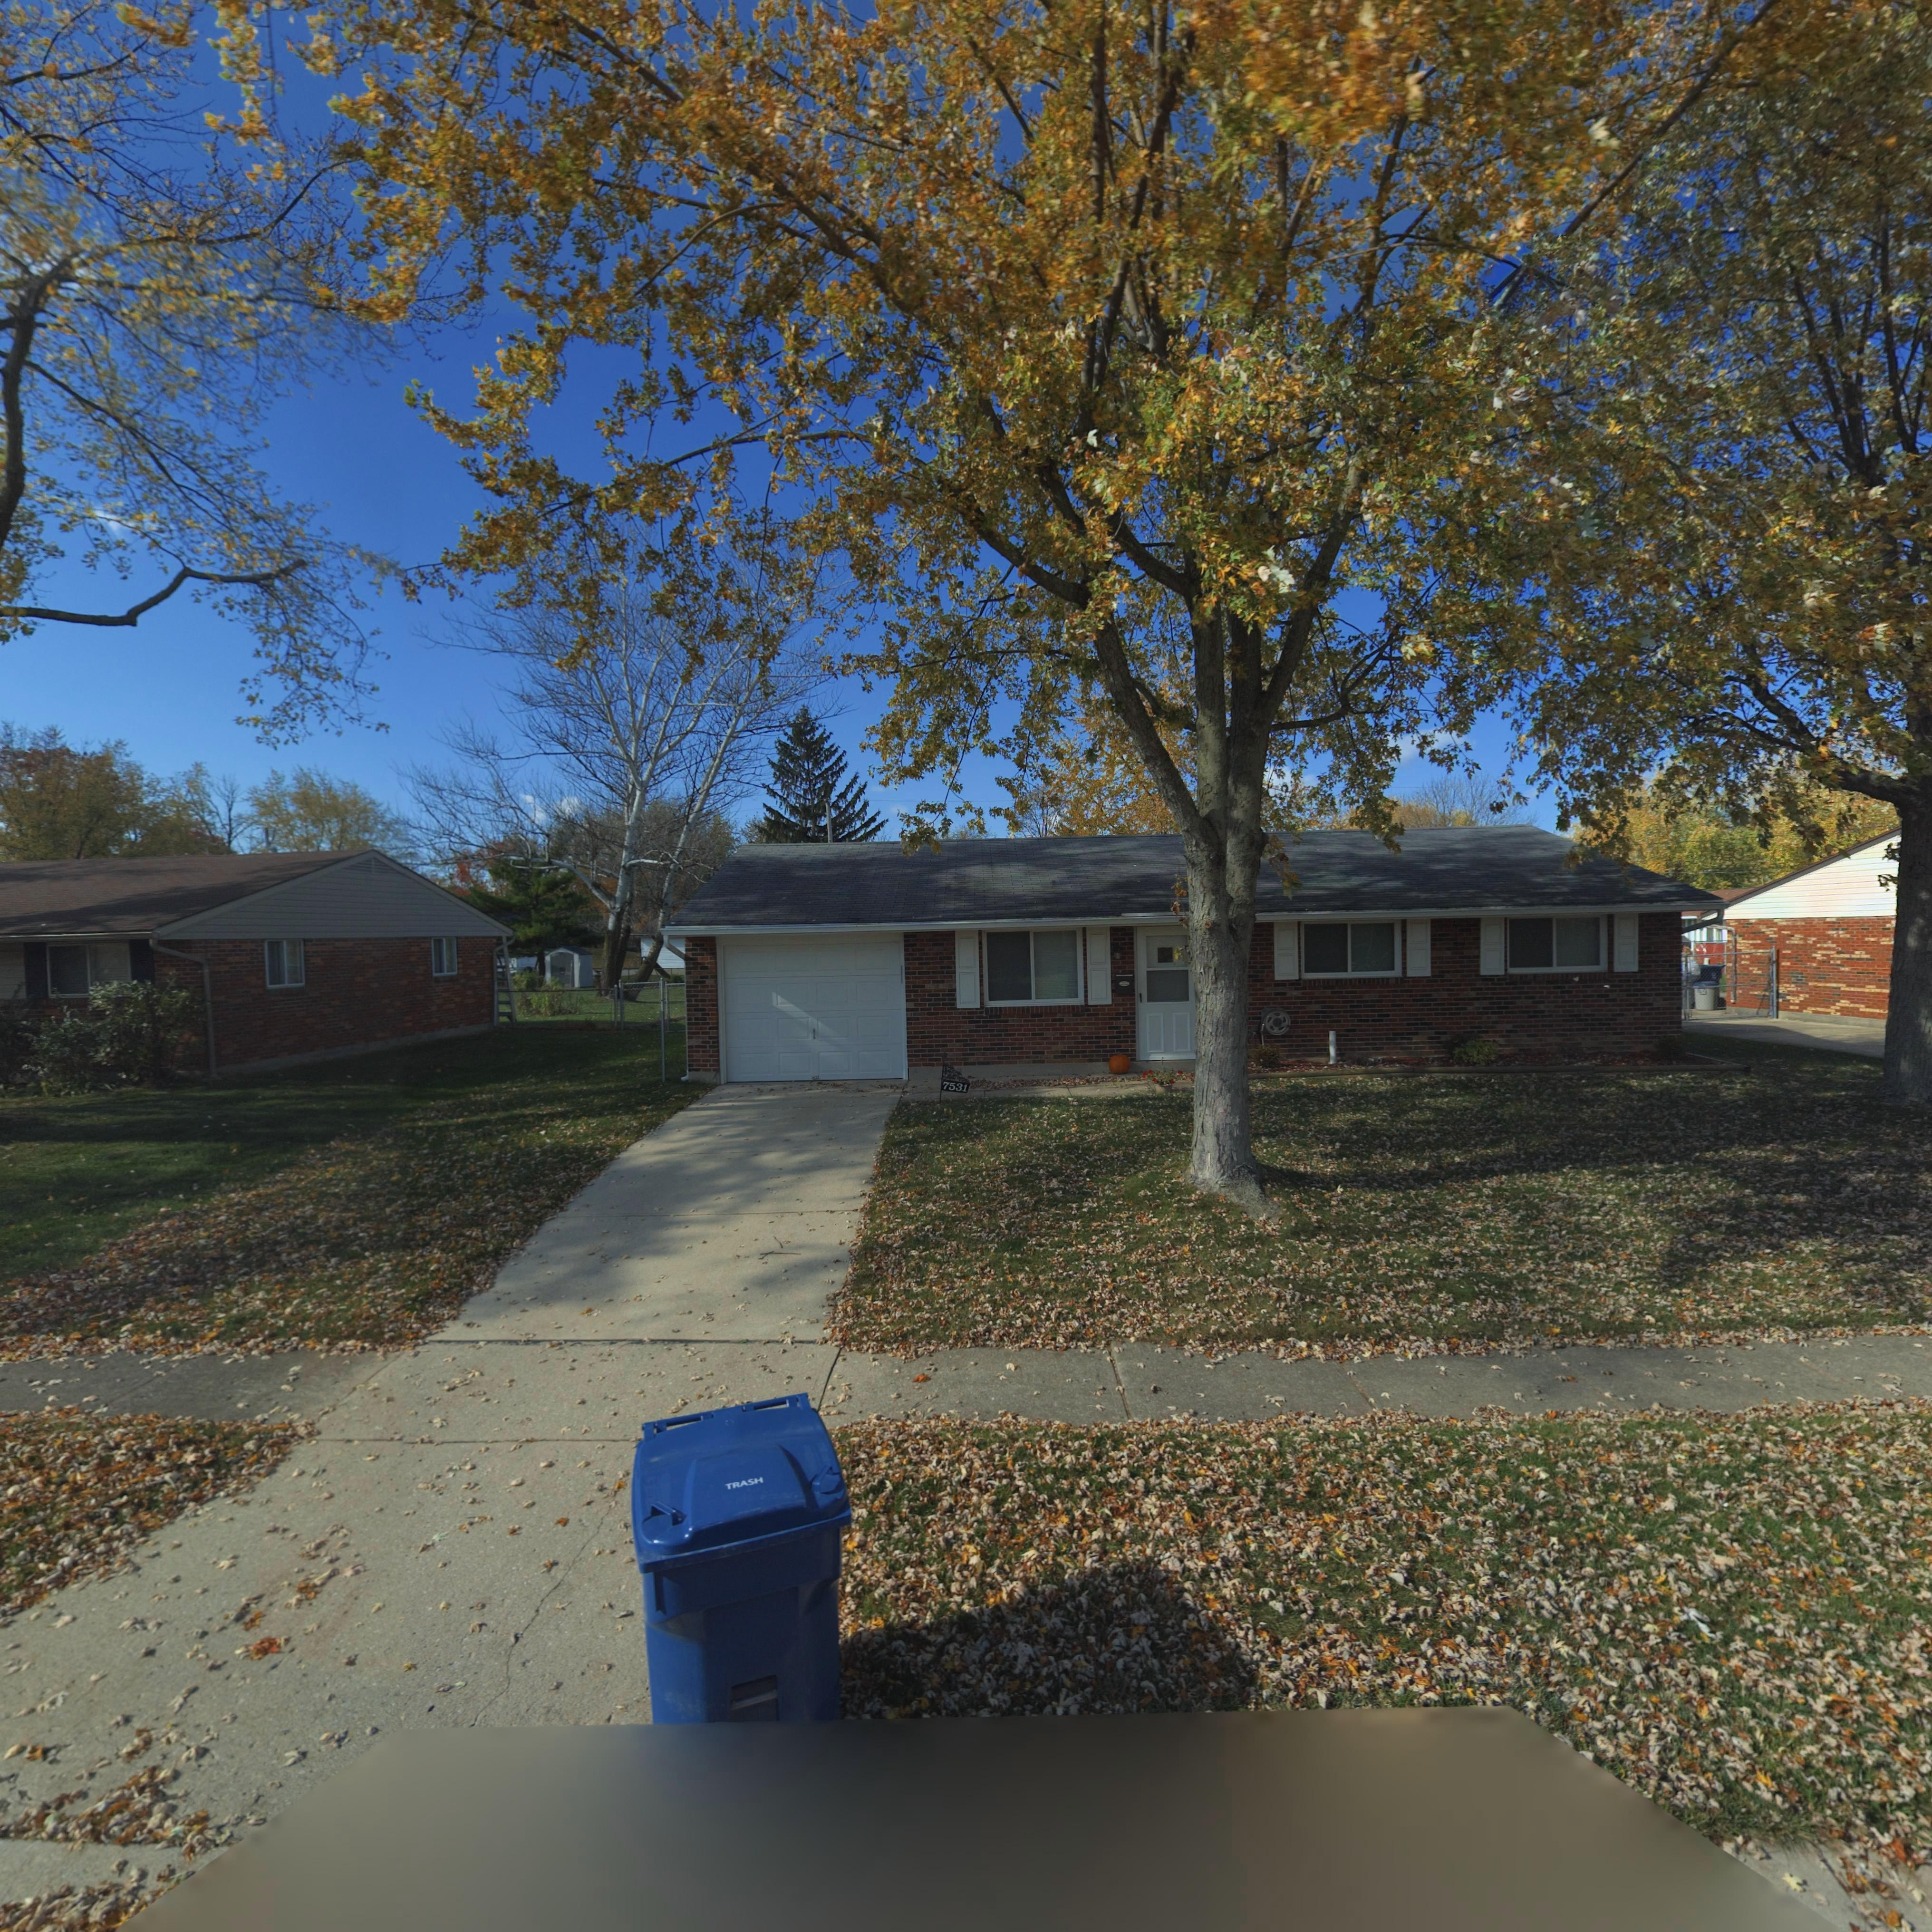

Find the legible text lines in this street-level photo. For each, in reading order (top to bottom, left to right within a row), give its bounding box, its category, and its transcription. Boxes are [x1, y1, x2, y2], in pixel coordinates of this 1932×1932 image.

[942, 1081, 968, 1093] StreetNumber: 7531